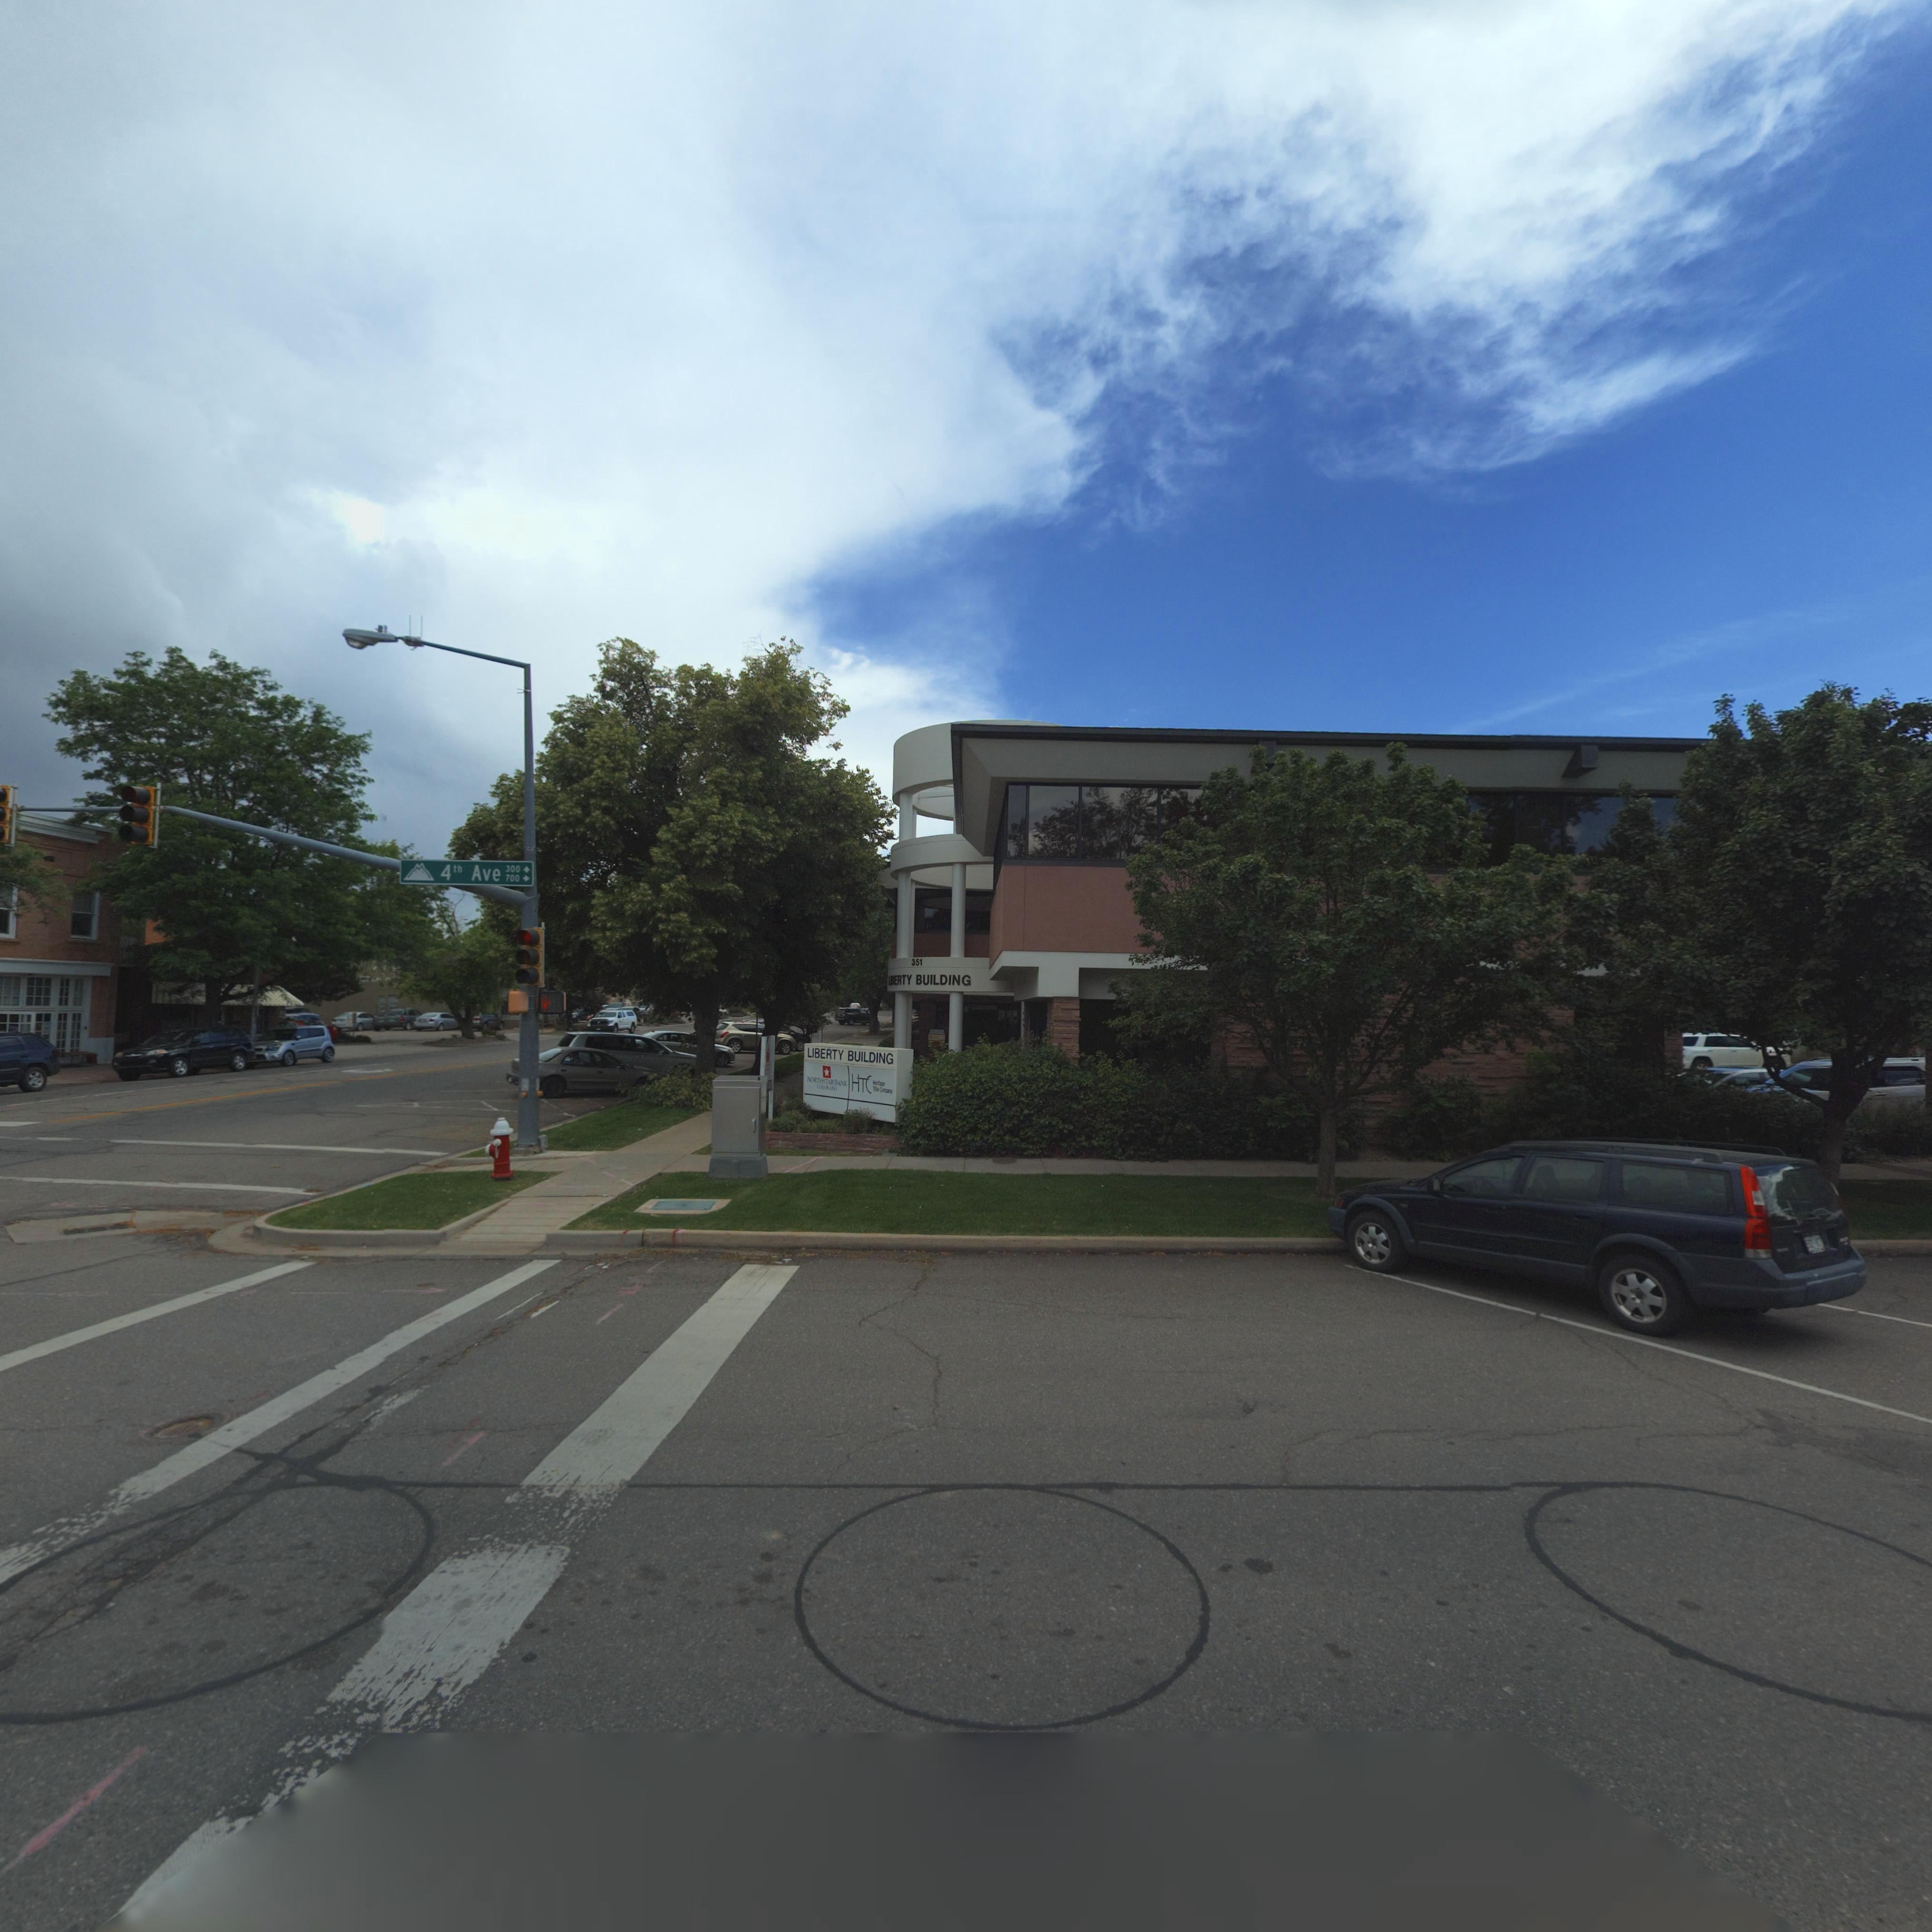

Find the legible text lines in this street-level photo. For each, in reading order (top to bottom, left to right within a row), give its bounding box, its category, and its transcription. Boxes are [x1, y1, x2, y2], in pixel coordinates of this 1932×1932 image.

[440, 864, 501, 881] StreetName: 4th Ave
[505, 865, 520, 872] StreetNumber: 300
[505, 874, 530, 881] StreetNumberRange: 700 ->
[911, 958, 922, 966] StreetNumber: 351
[806, 1076, 847, 1086] BusinessName: NORTHSTAR BANK
[851, 1073, 872, 1094] BusinessName: HTC
[873, 1080, 885, 1087] BusinessName: Heritage
[872, 1086, 893, 1095] BusinessName: T**le Company